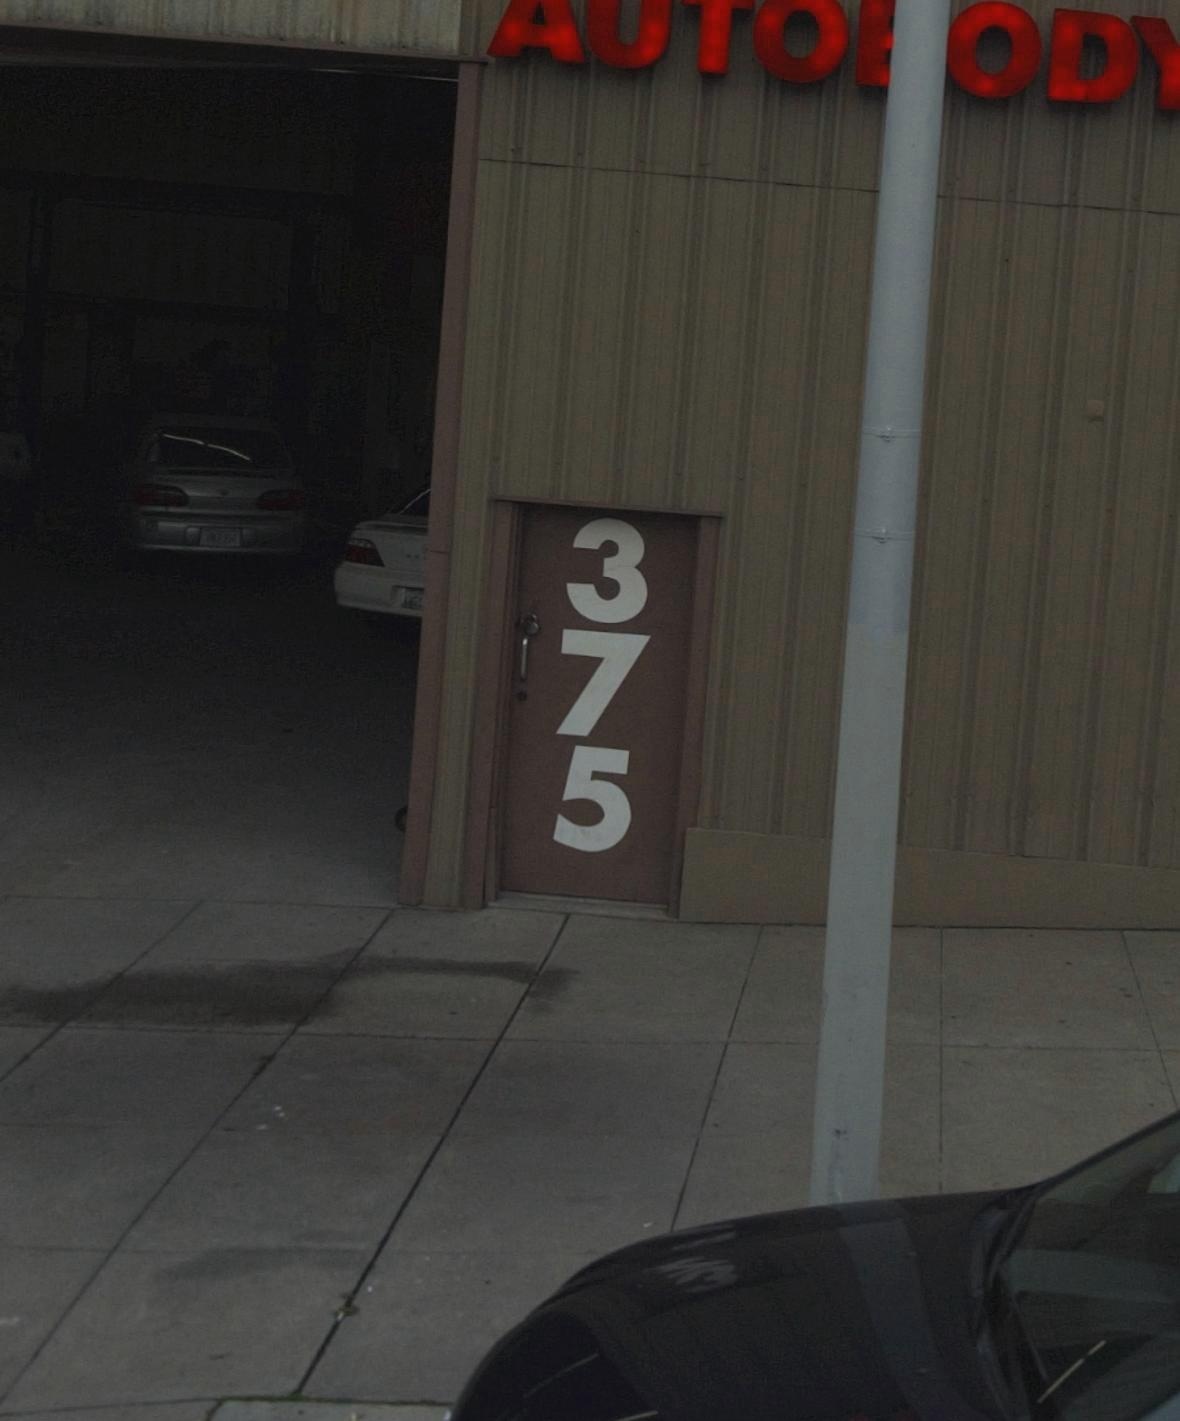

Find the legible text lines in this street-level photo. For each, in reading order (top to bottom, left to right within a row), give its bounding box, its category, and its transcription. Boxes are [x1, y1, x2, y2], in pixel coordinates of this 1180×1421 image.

[942, 0, 1142, 106] None: OD
[550, 516, 652, 856] StreetNumber: 375